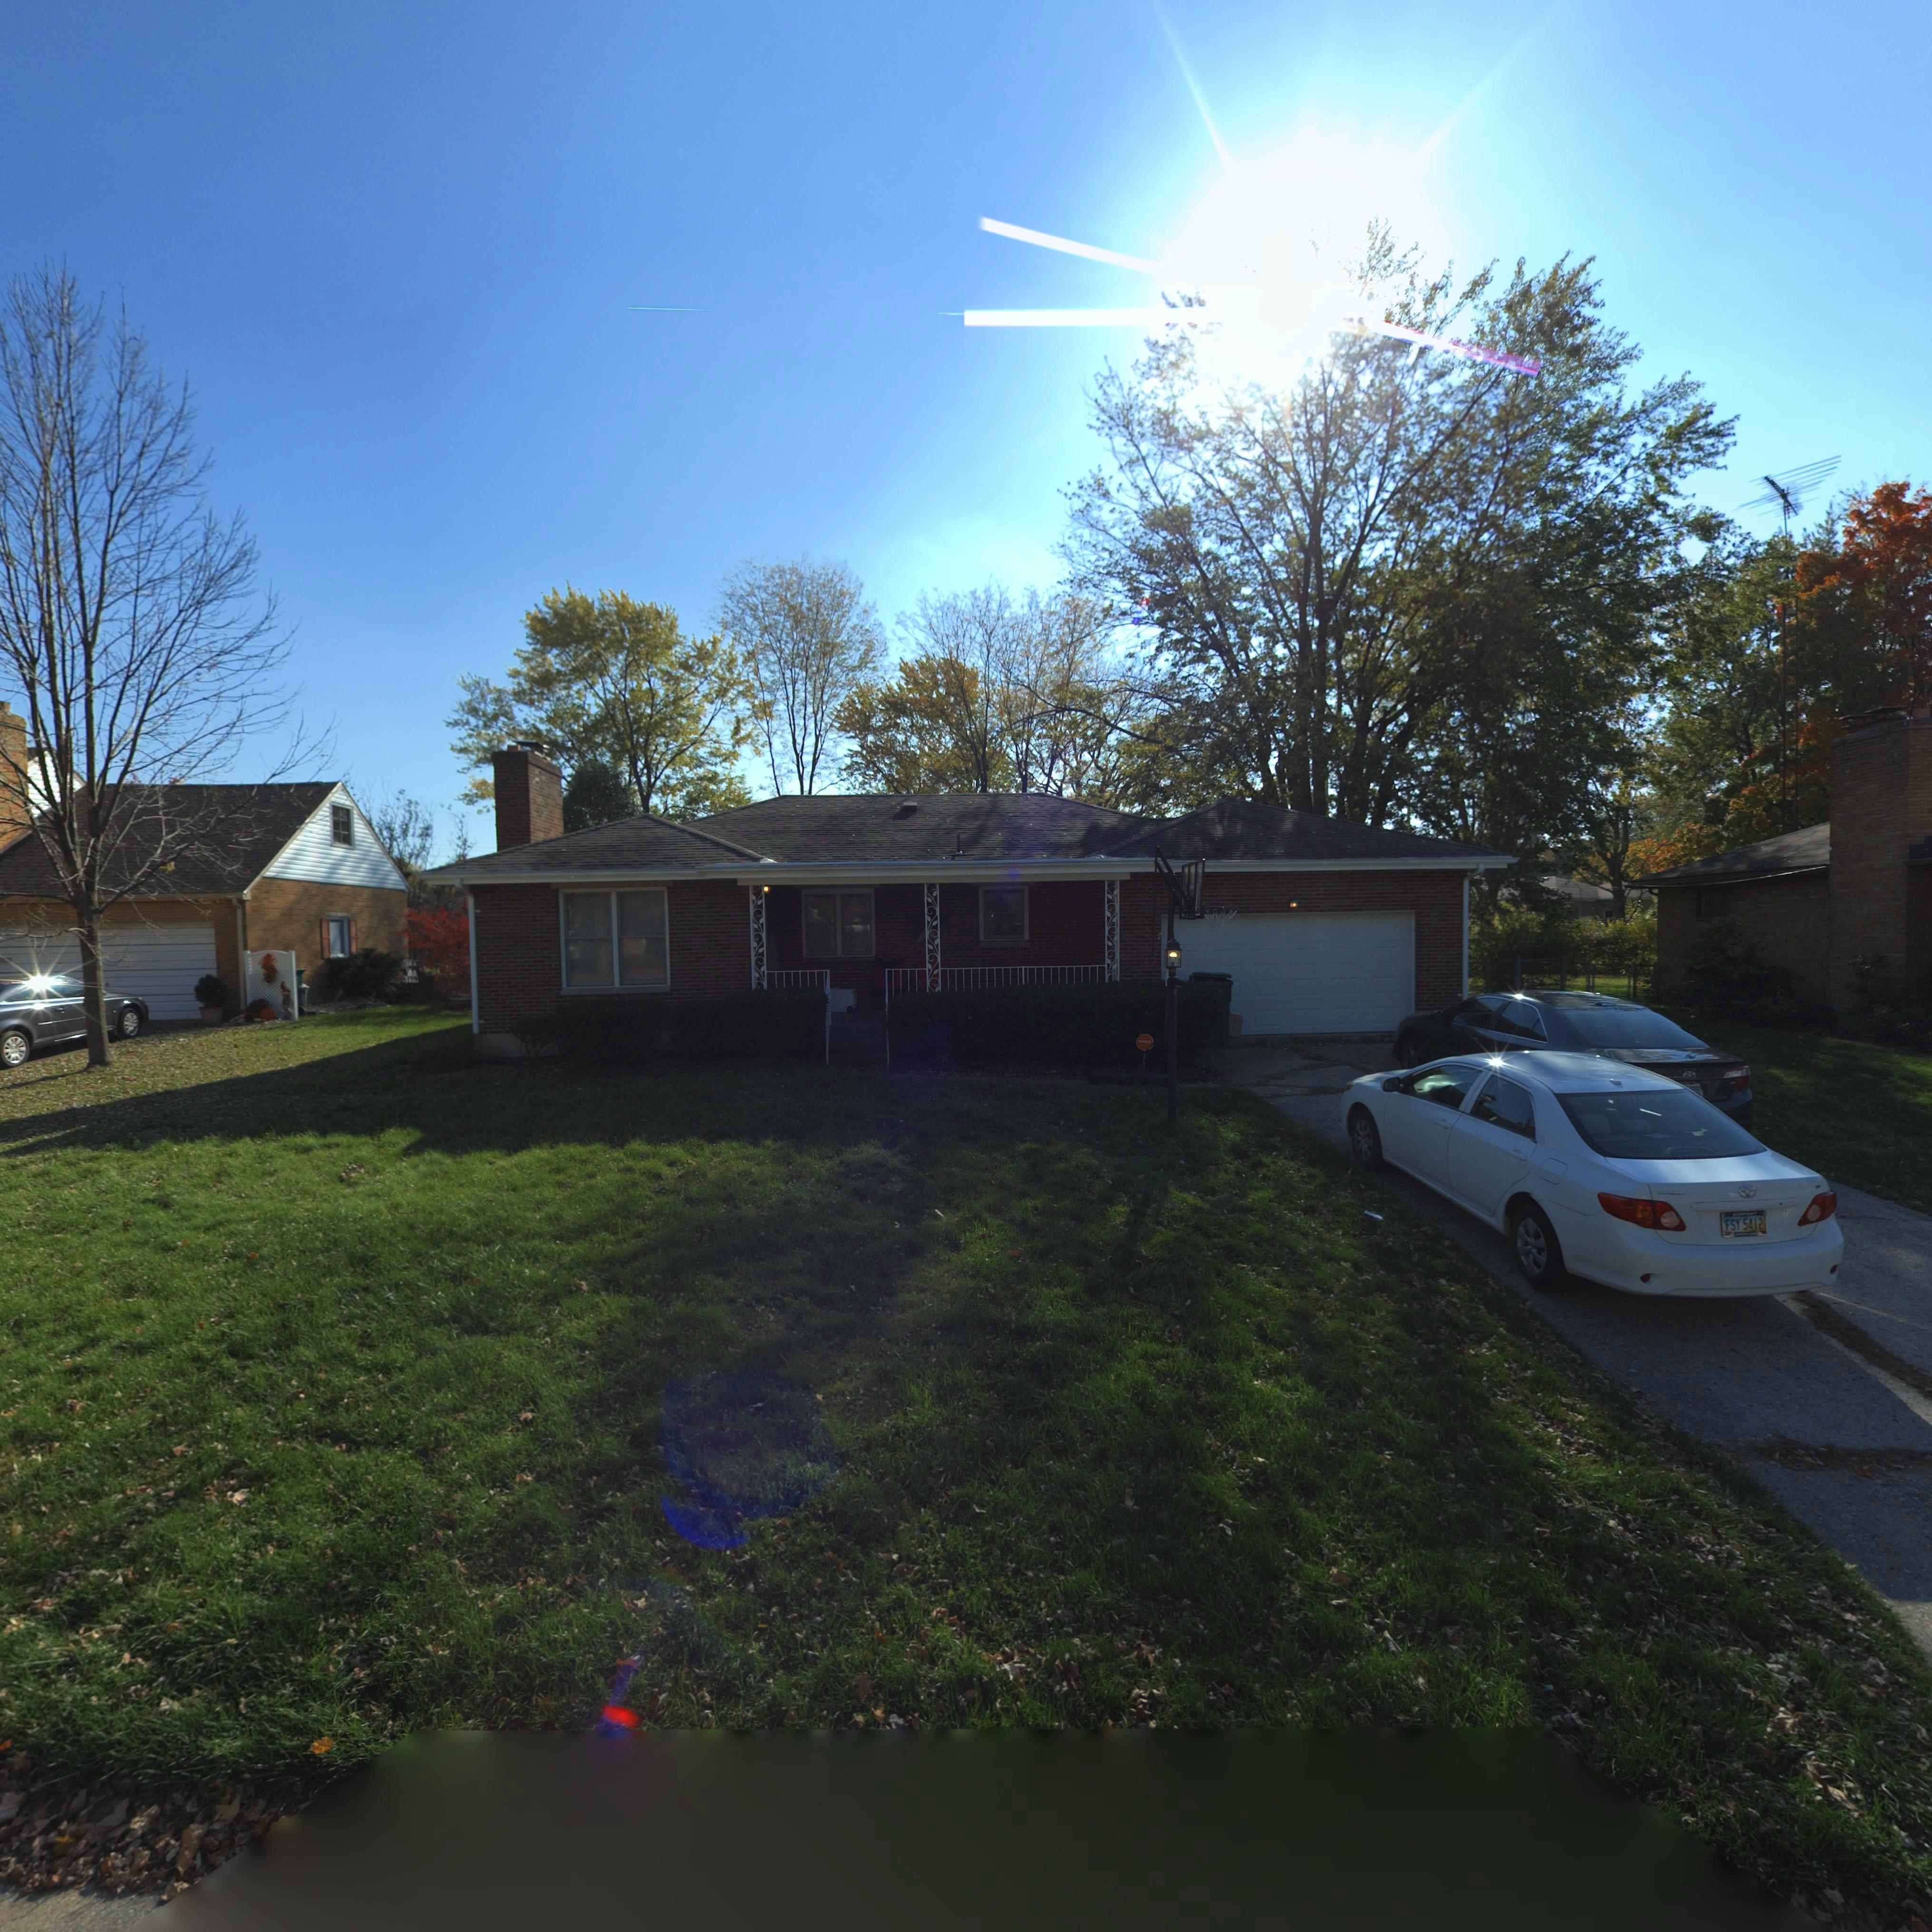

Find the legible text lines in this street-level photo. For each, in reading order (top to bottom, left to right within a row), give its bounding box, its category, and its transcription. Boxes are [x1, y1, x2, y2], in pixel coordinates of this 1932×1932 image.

[1696, 1085, 1700, 1094] None: 9
[1732, 1212, 1758, 1217] None: AIRPORT
[1725, 1217, 1764, 1232] None: FSY*5412